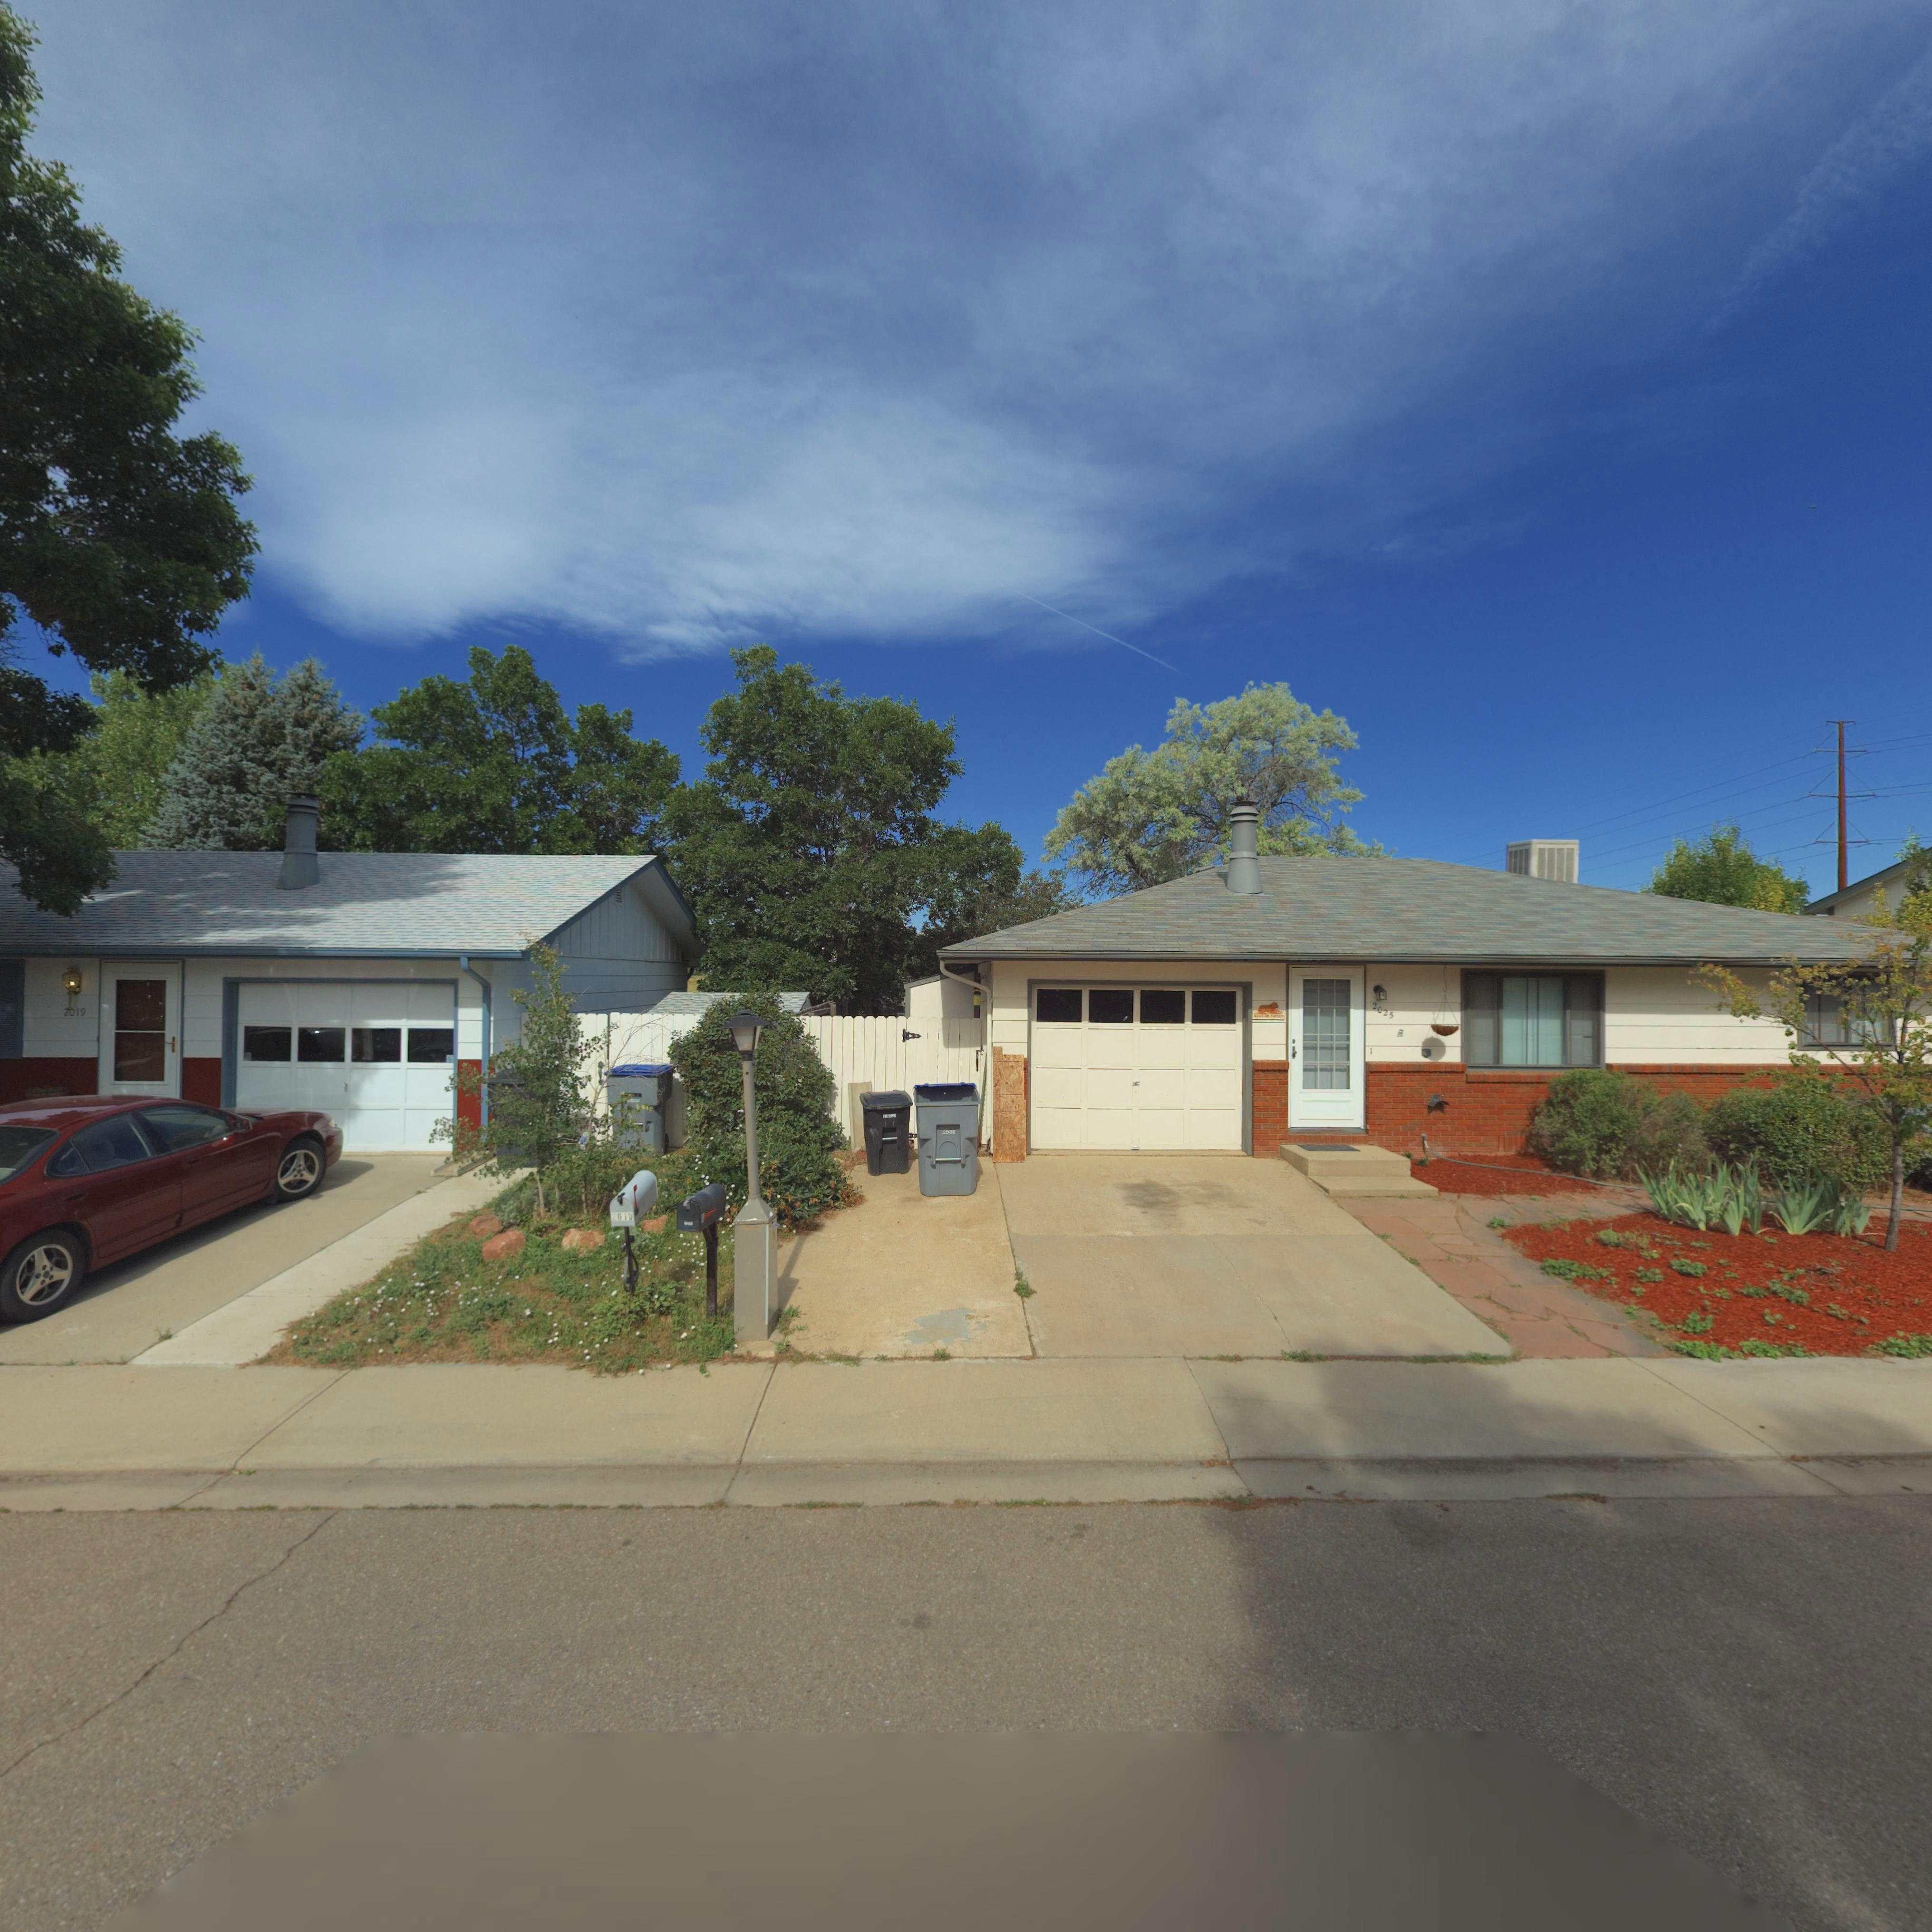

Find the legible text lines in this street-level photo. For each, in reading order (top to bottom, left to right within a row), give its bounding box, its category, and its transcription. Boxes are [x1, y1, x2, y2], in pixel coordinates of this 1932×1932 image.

[63, 1006, 86, 1017] StreetNumber: 2019
[611, 1212, 633, 1221] StreetNumber: 2019